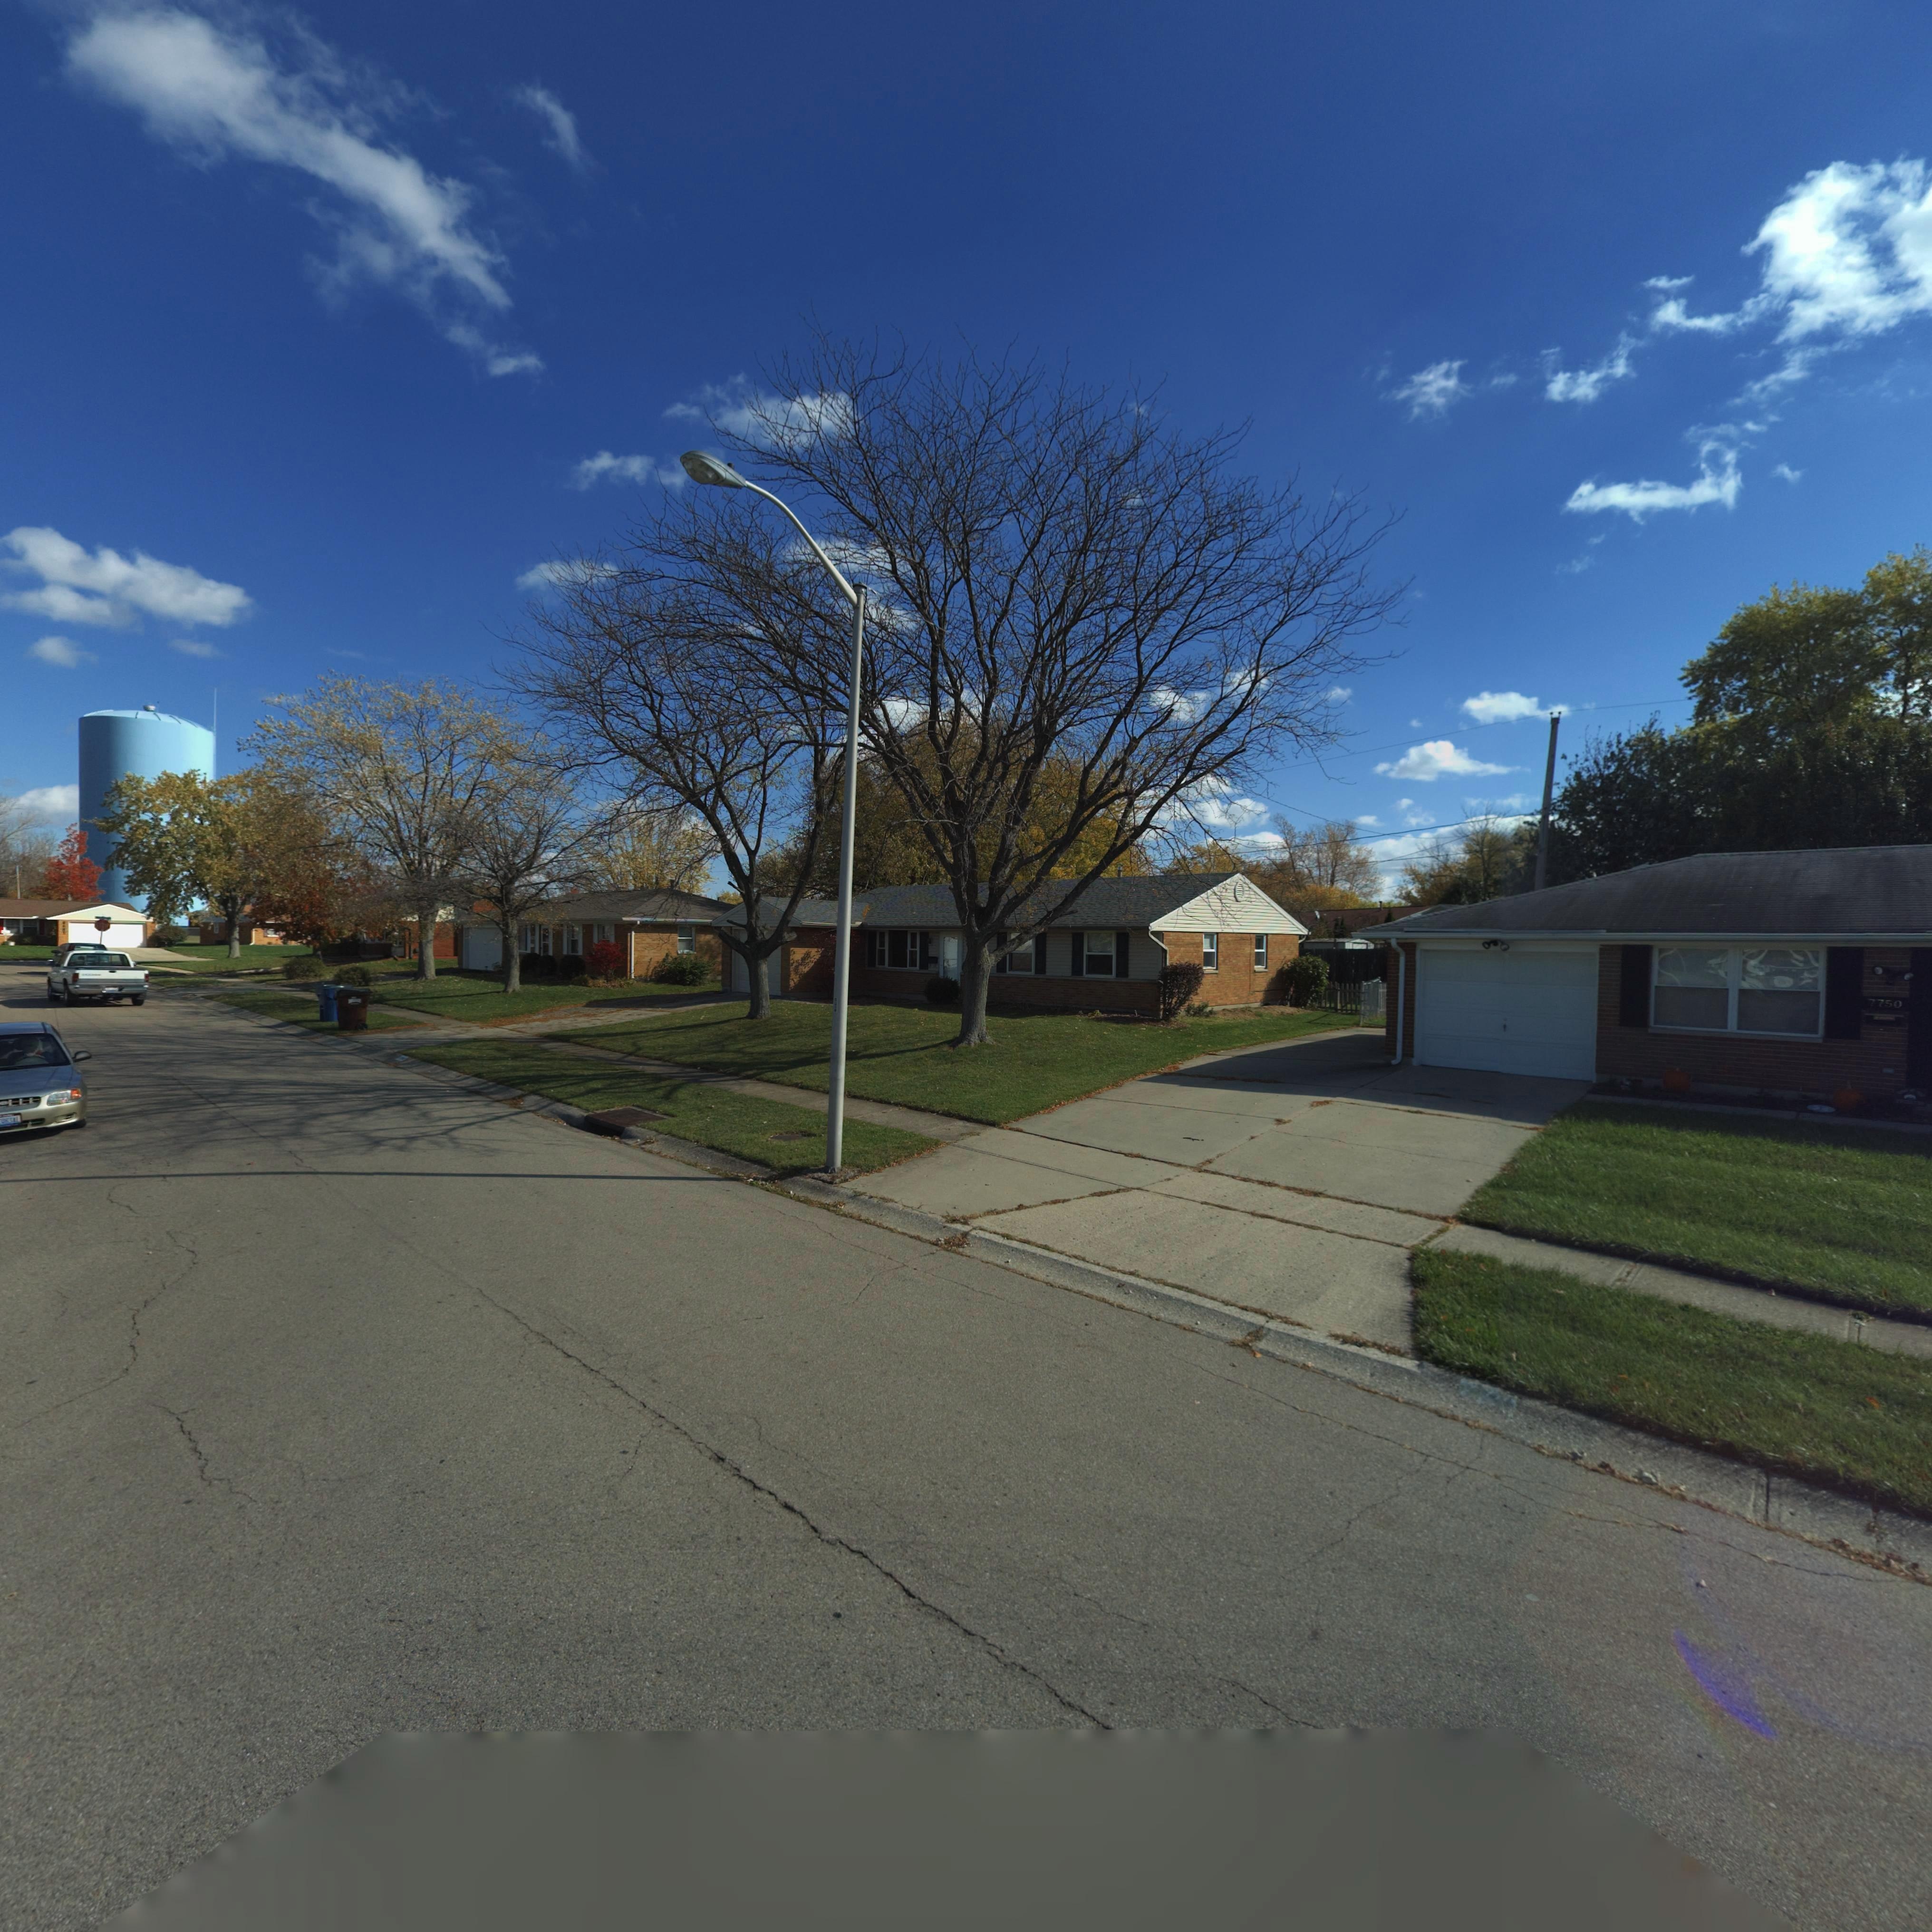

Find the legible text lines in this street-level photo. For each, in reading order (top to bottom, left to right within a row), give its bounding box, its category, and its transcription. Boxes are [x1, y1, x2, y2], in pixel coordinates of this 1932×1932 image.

[1867, 998, 1903, 1009] StreetNumber: 7750